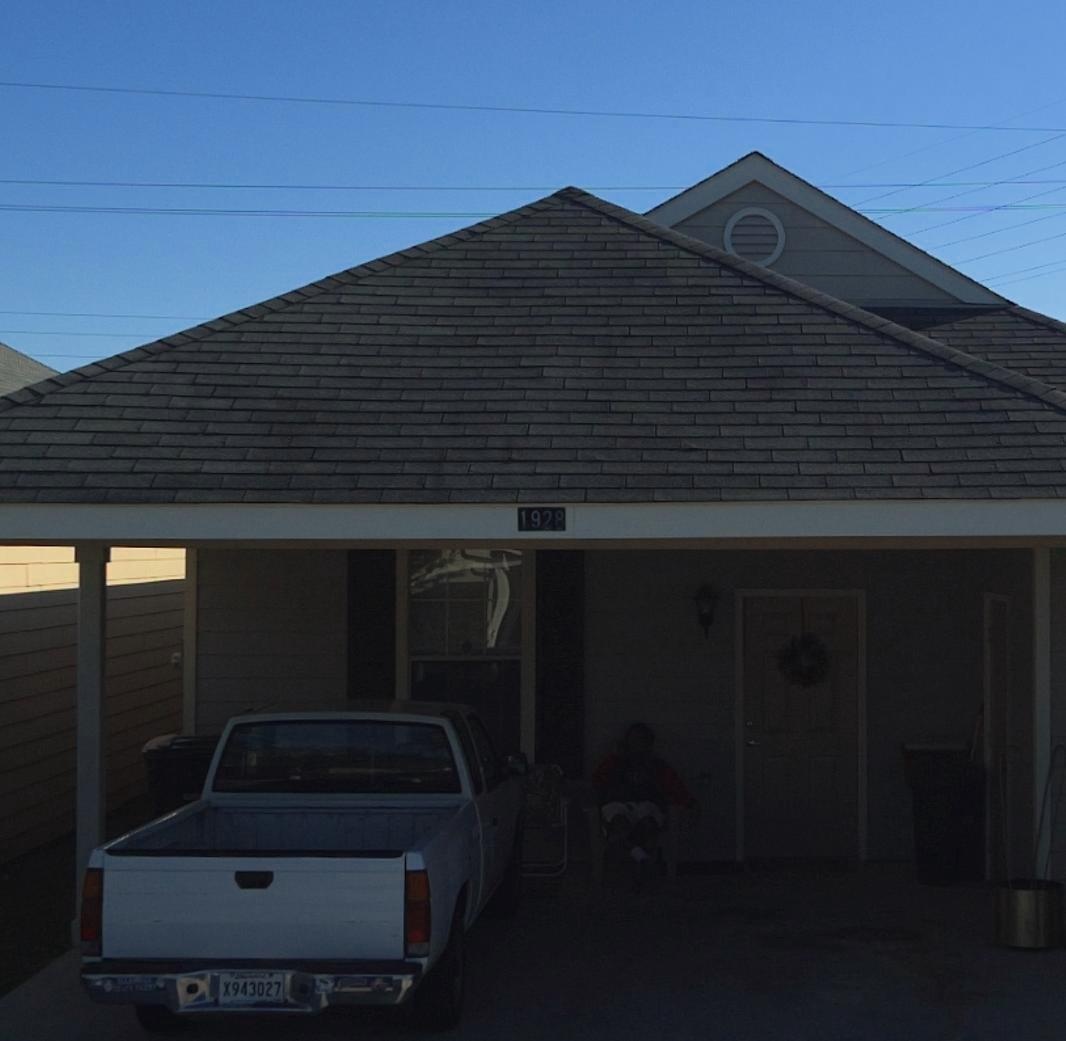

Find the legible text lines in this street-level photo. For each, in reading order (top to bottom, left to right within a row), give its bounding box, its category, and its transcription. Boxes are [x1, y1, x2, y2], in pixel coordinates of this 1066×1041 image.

[519, 508, 565, 530] StreetNumber: 1928
[221, 979, 285, 998] None: X943027